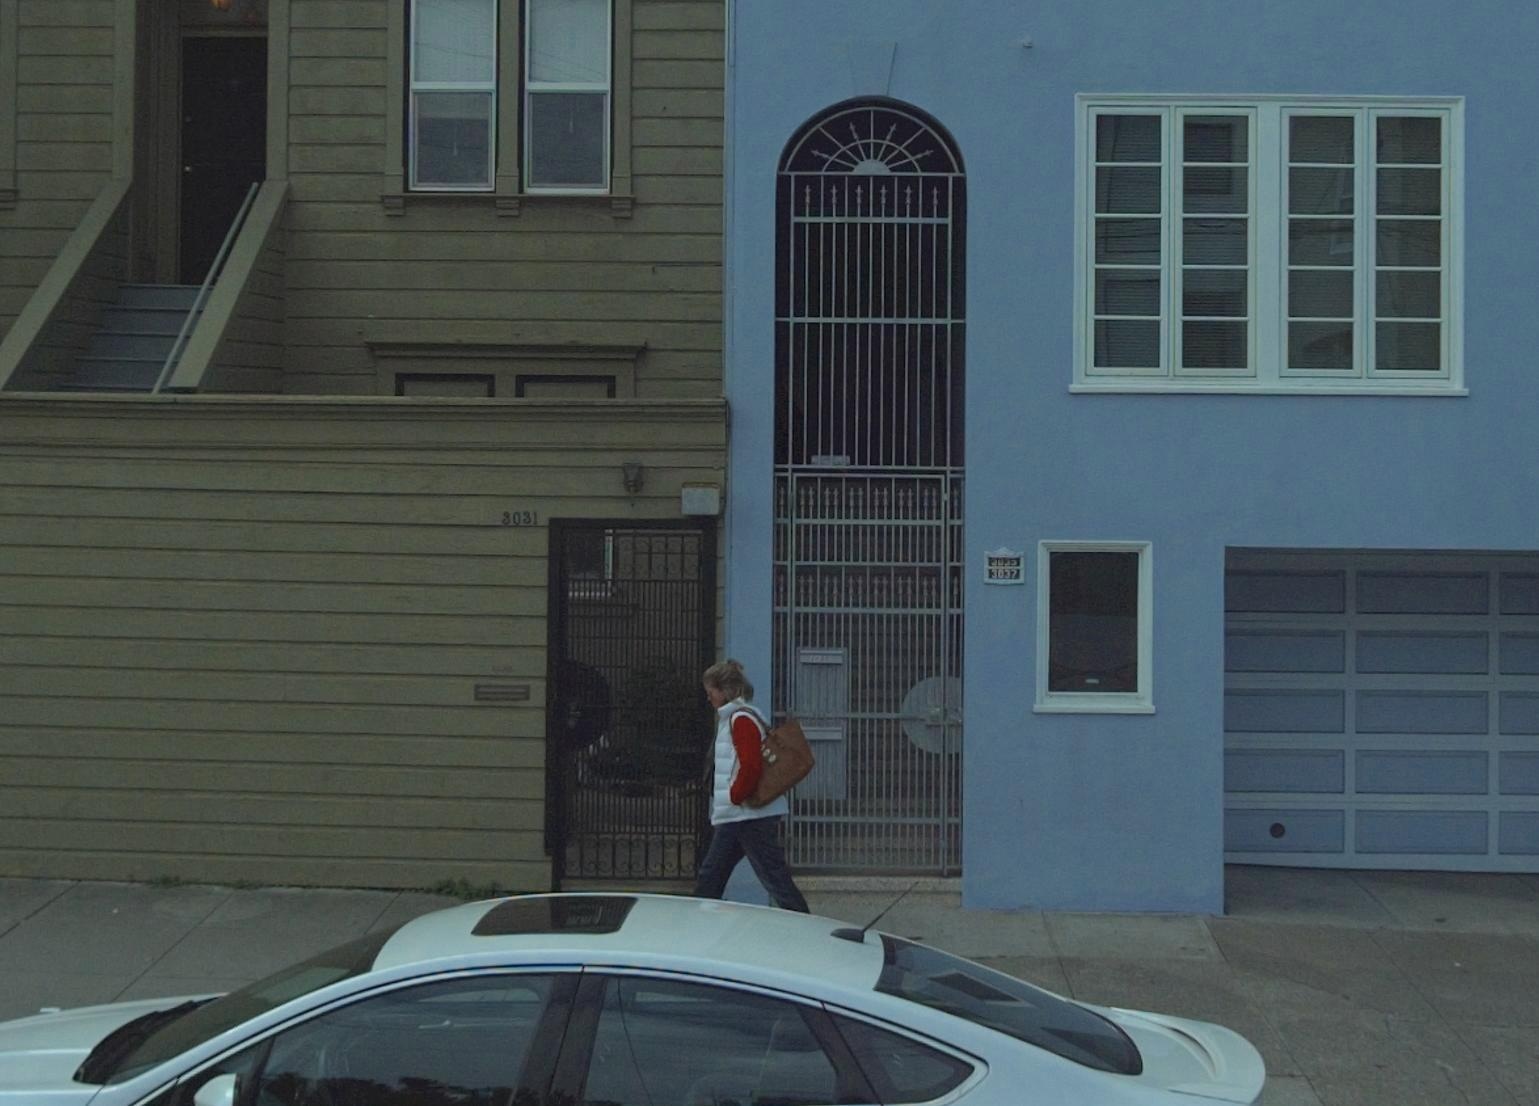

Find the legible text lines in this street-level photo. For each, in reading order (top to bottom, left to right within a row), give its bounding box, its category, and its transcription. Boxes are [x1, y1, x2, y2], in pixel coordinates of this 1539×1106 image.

[499, 508, 540, 528] StreetNumber: 3031
[986, 556, 1020, 568] StreetNumber: 3035
[988, 567, 1020, 581] None: 3037